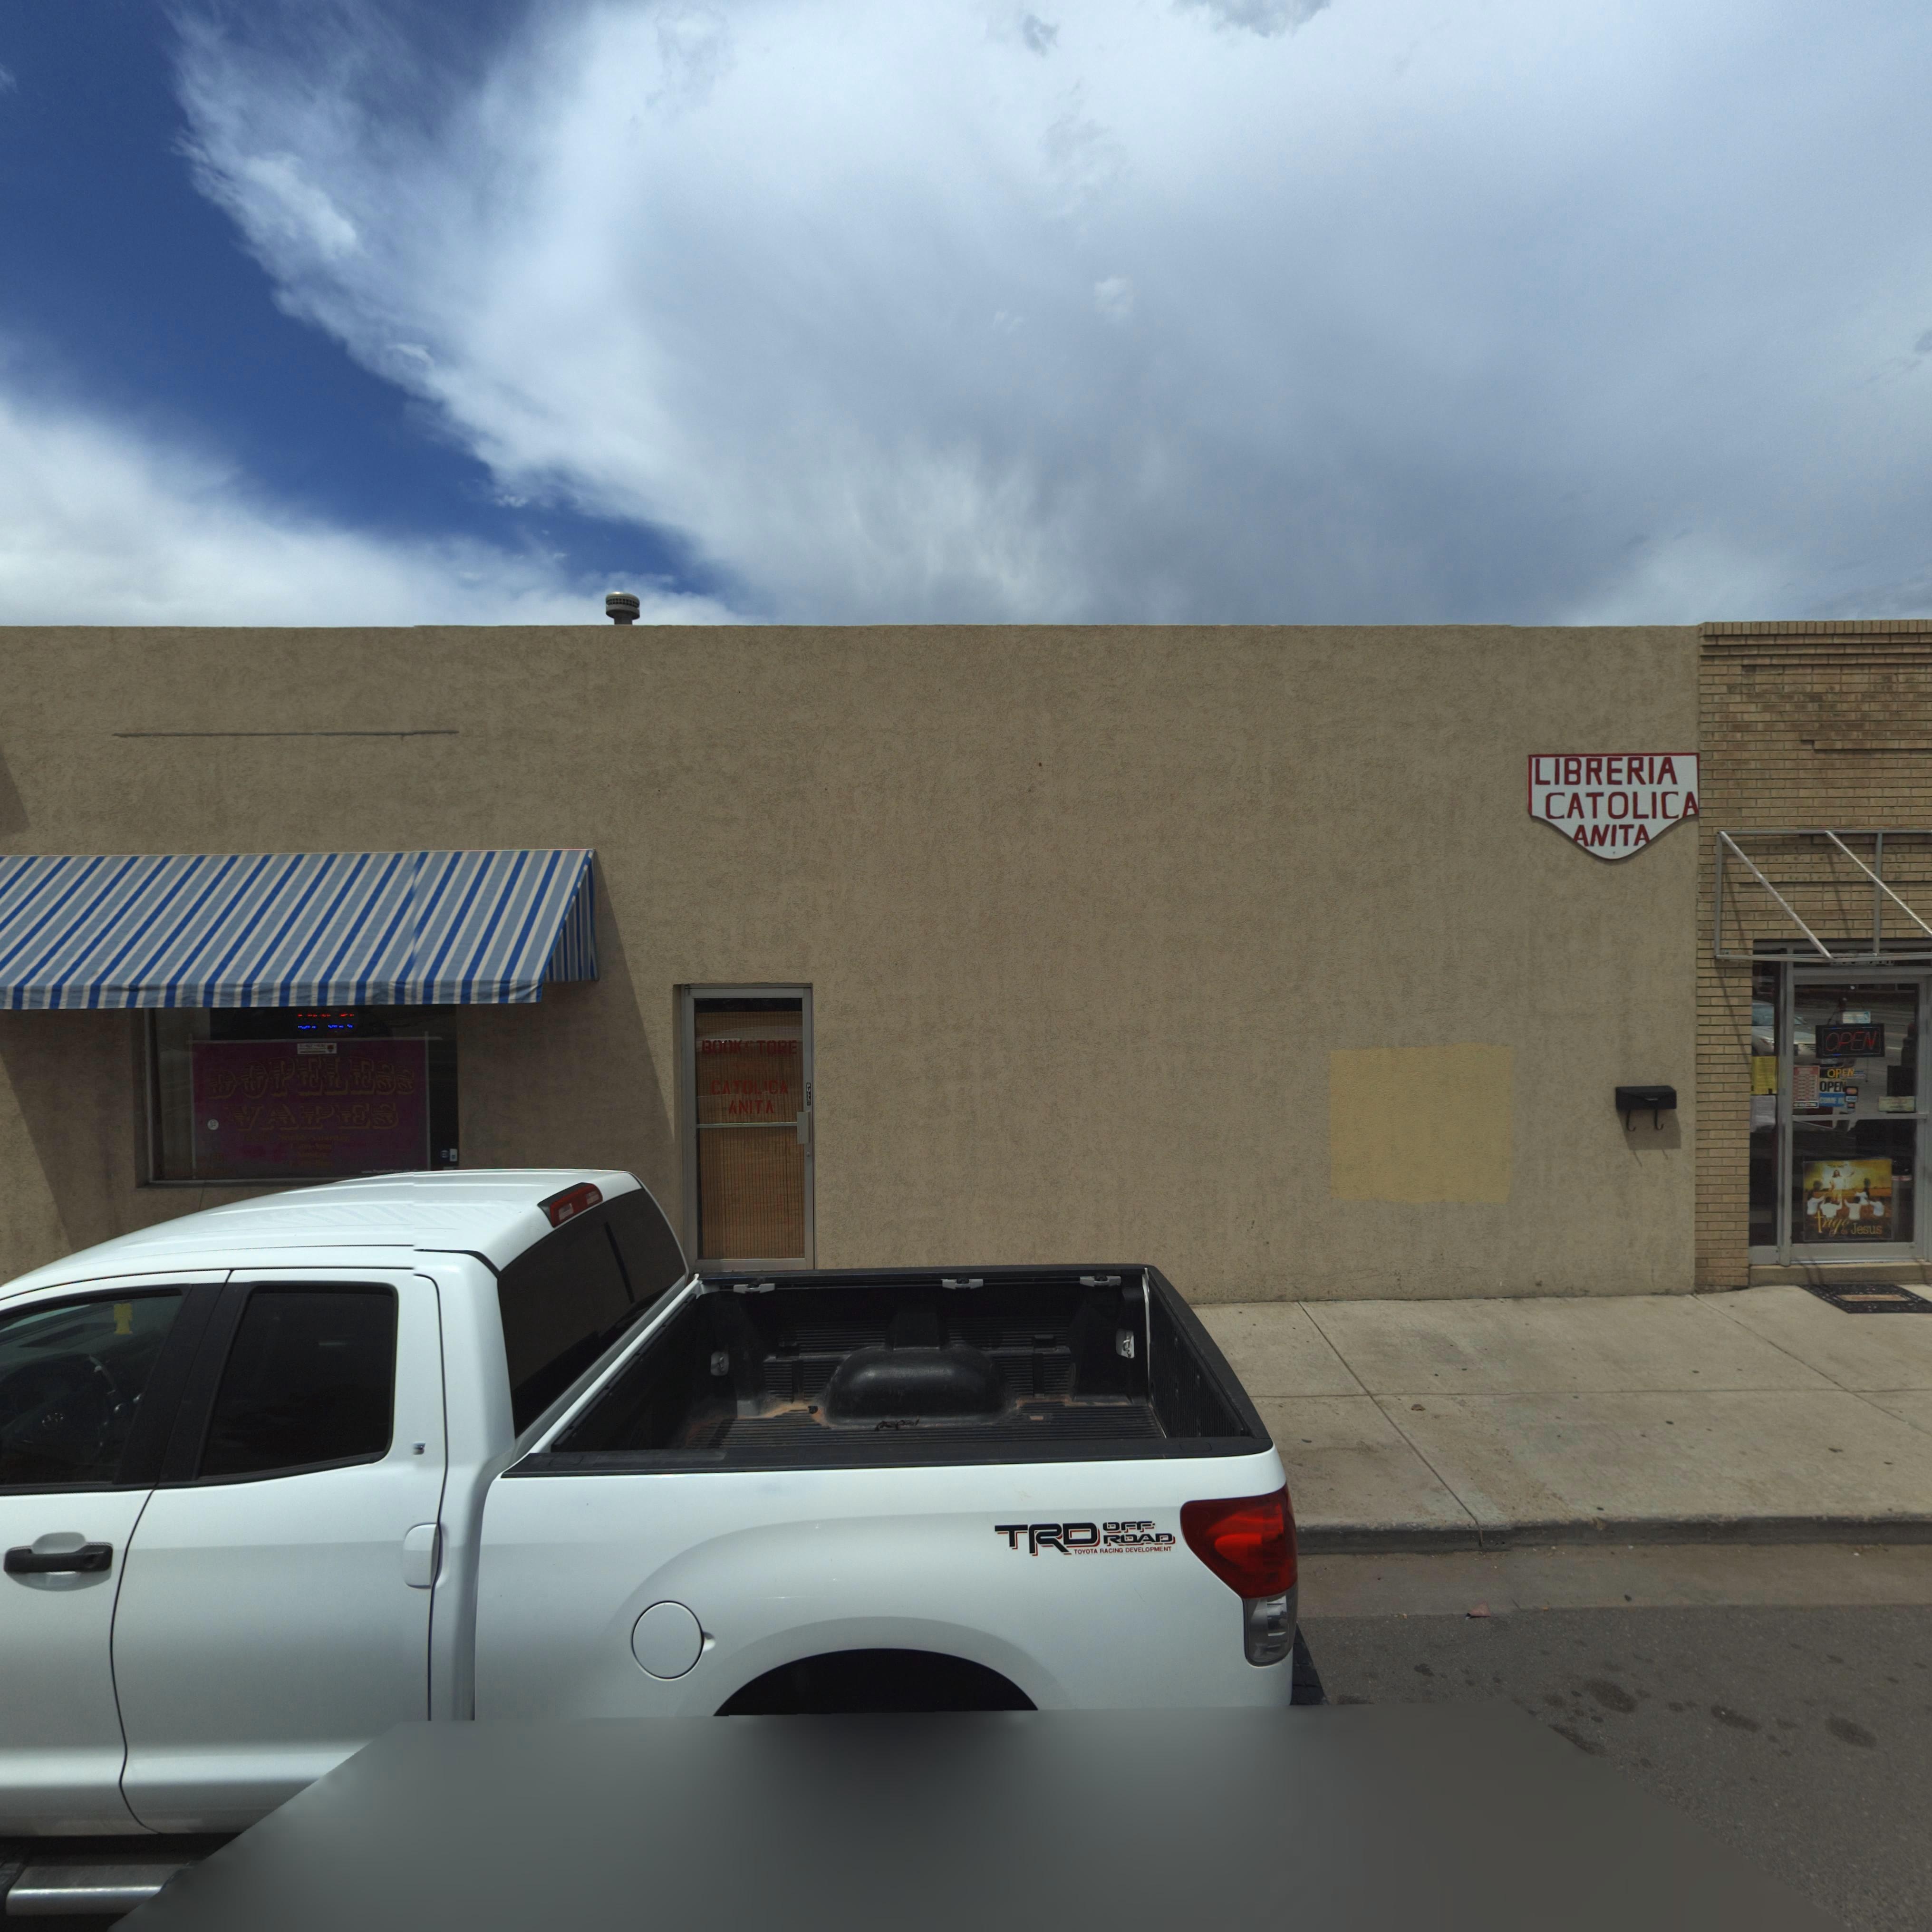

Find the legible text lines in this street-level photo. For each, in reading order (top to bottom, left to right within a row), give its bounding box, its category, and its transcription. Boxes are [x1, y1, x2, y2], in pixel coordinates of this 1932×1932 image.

[1535, 756, 1678, 784] BusinessName: LIBRERIA
[1546, 791, 1699, 819] BusinessName: CATOLICA
[1572, 823, 1650, 847] BusinessName: ANITA
[208, 1053, 414, 1099] BusinessName: DOPELESS
[710, 1080, 789, 1095] BusinessName: CATOLICA
[225, 1102, 396, 1130] BusinessName: VAPES
[728, 1099, 774, 1113] BusinessName: ANITA